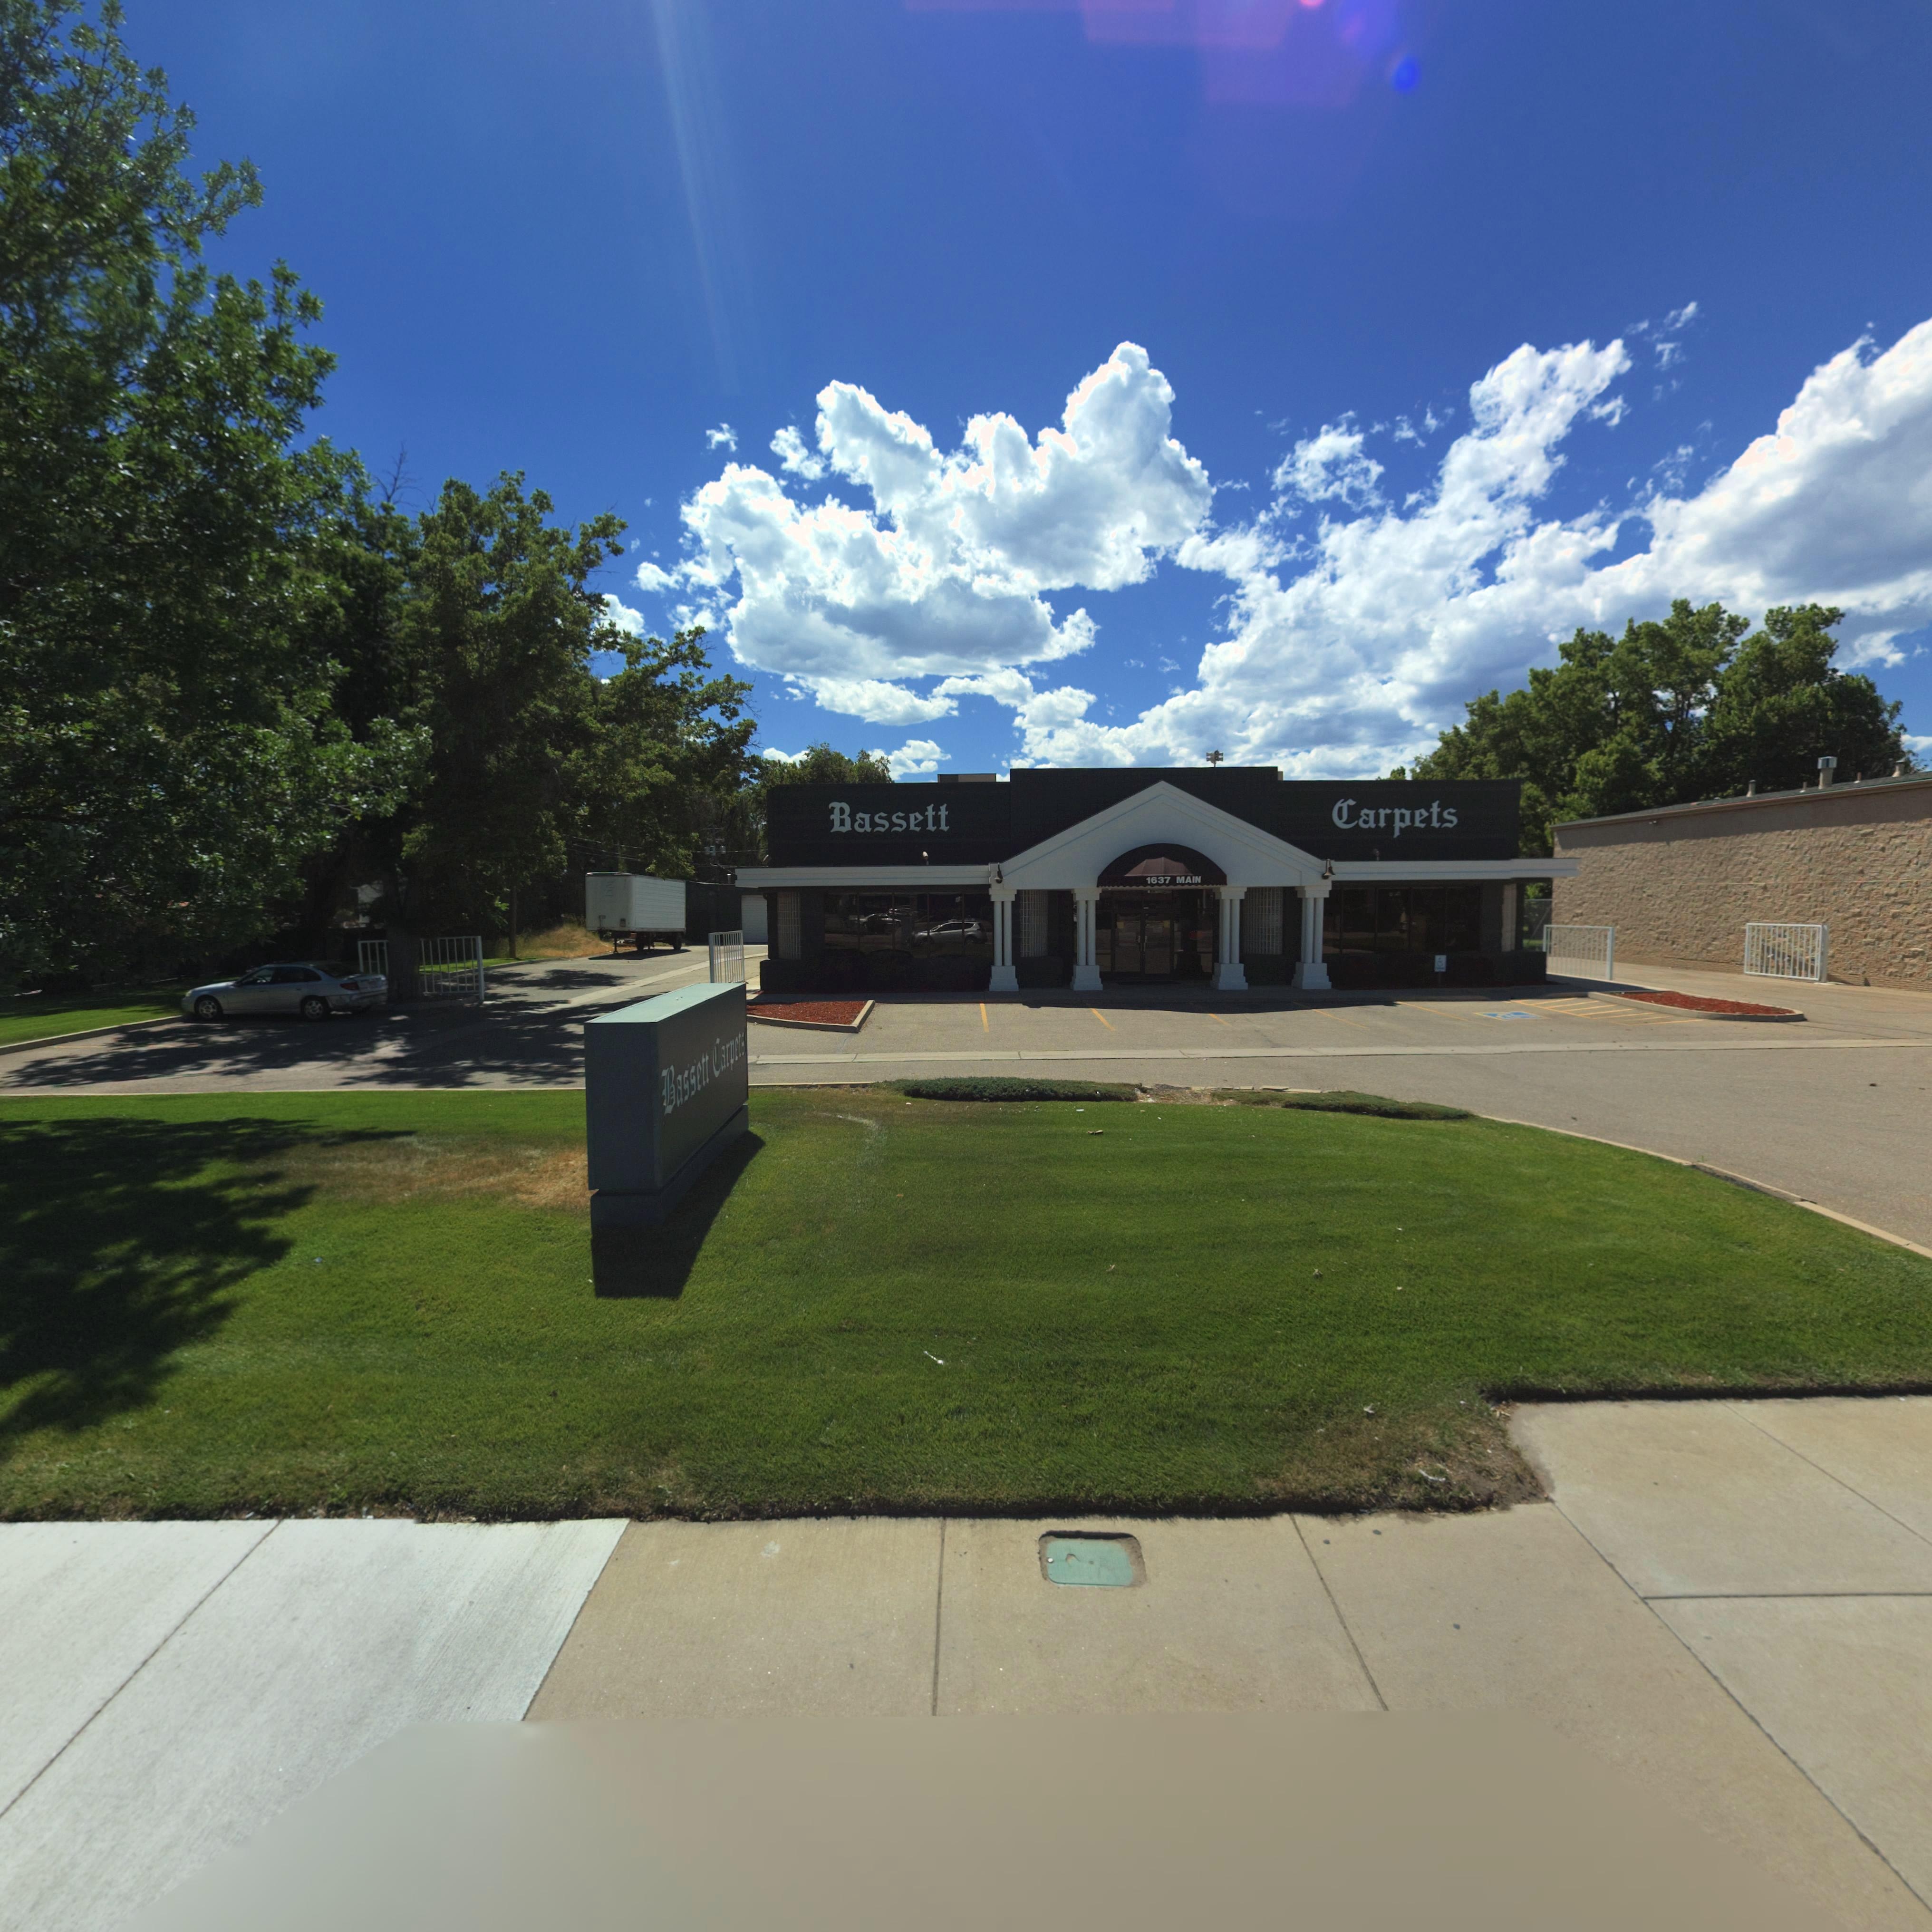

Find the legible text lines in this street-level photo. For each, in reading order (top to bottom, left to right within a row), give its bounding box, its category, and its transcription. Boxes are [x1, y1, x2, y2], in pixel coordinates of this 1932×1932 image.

[826, 800, 951, 834] BusinessName: Bassett
[1331, 796, 1459, 839] BusinessName: Carpets
[1145, 876, 1170, 884] StreetNumber: 1637
[1175, 875, 1202, 884] StreetName: MAIN
[660, 1029, 747, 1118] BusinessName: Bassett Carpets